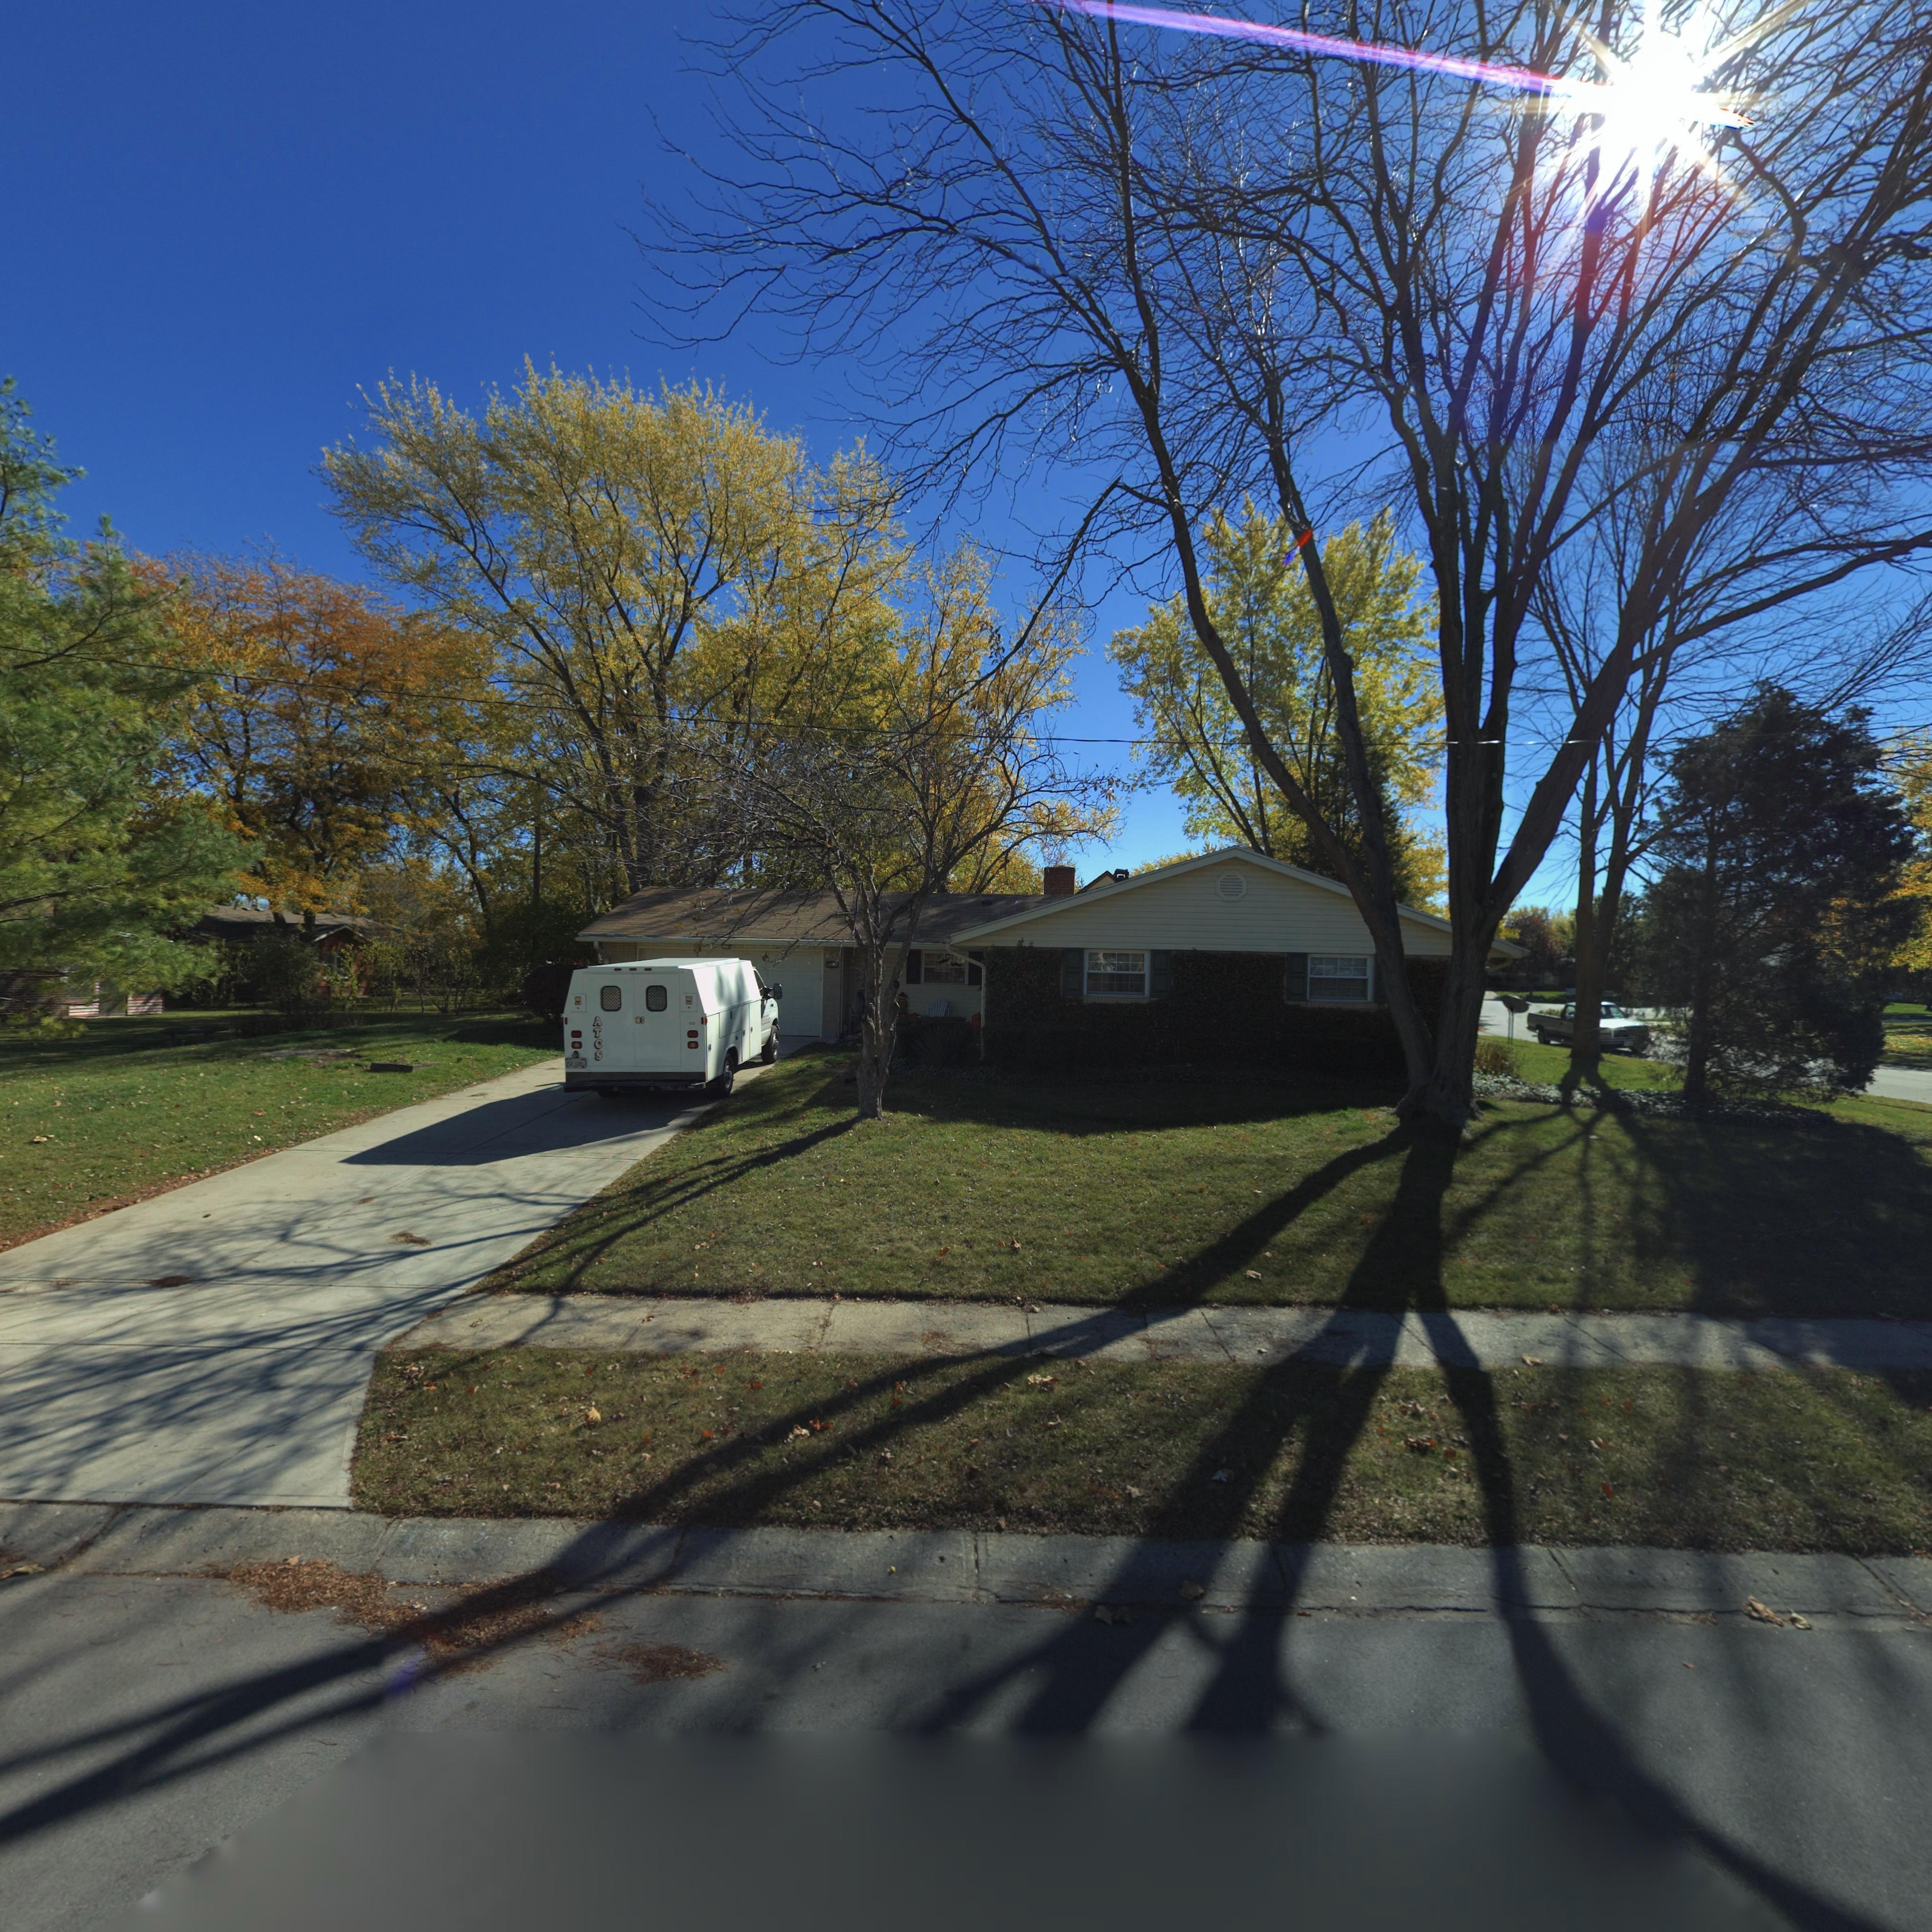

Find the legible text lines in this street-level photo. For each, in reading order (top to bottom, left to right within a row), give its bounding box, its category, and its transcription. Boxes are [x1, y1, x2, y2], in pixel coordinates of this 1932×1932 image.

[826, 963, 832, 967] StreetNumber: 10